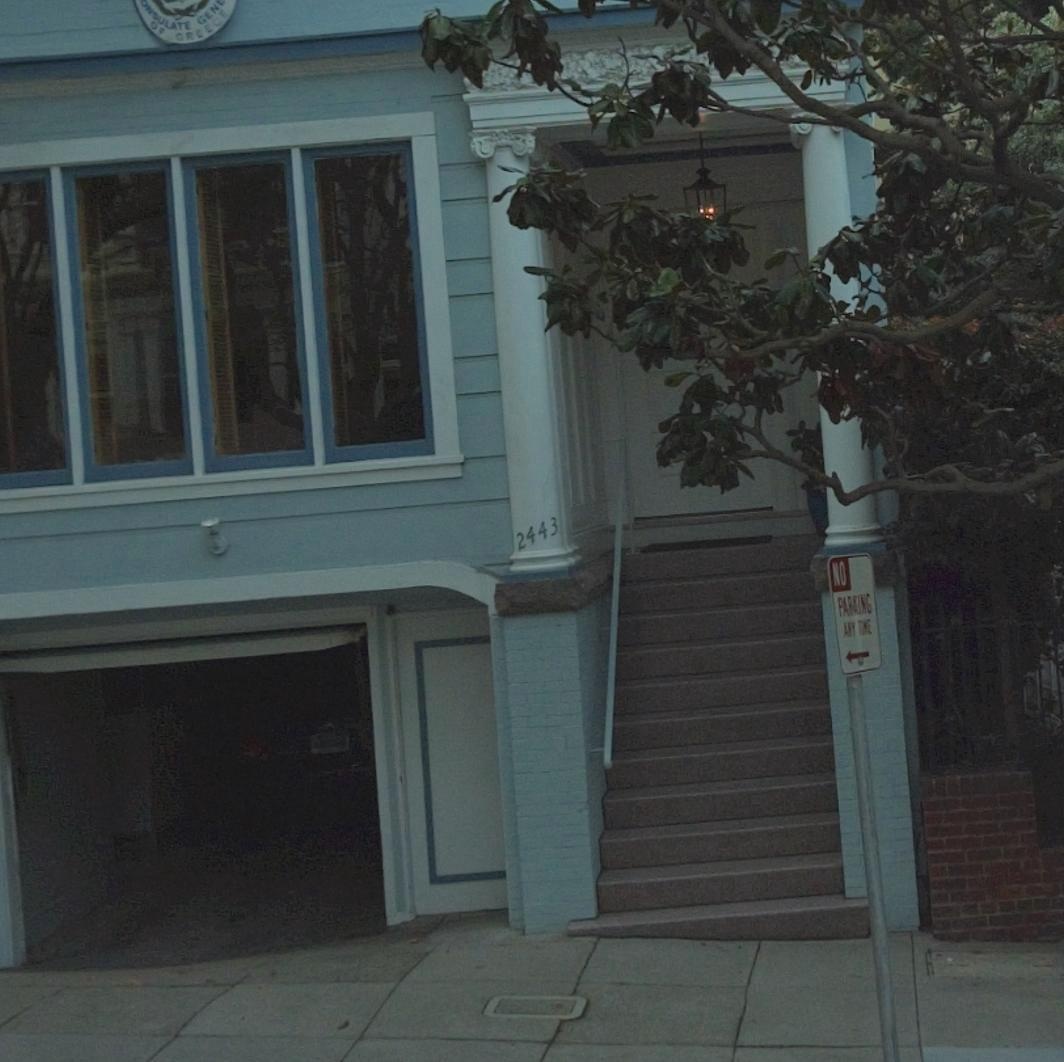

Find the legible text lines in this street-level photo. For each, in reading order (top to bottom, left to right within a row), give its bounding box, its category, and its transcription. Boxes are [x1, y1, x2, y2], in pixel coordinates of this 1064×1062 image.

[513, 510, 561, 556] StreetNumber: 2443
[828, 558, 850, 590] None: NO
[835, 594, 846, 620] None: P